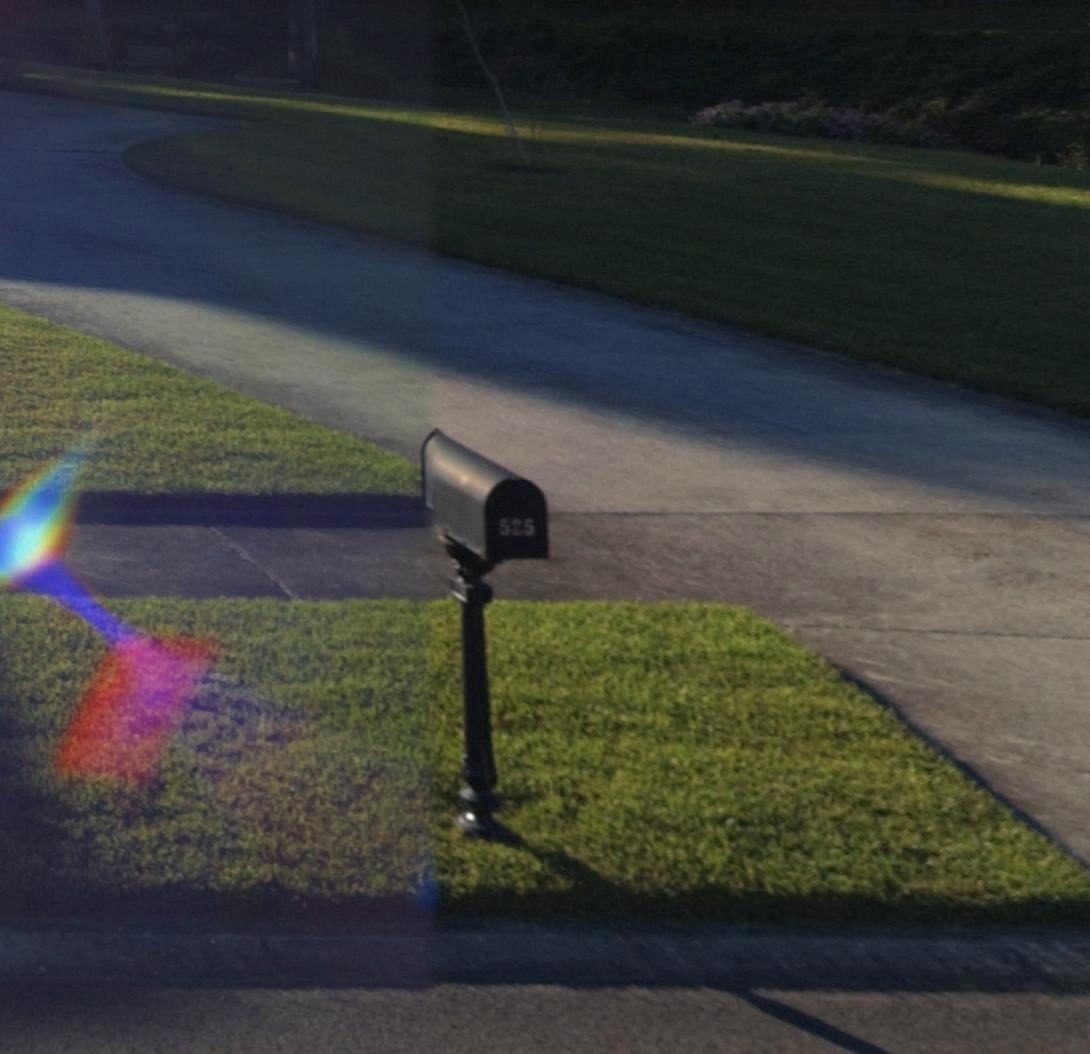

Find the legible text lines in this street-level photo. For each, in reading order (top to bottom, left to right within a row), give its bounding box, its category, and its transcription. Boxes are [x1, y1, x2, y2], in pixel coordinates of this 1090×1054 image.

[497, 517, 537, 537] StreetNumber: 525